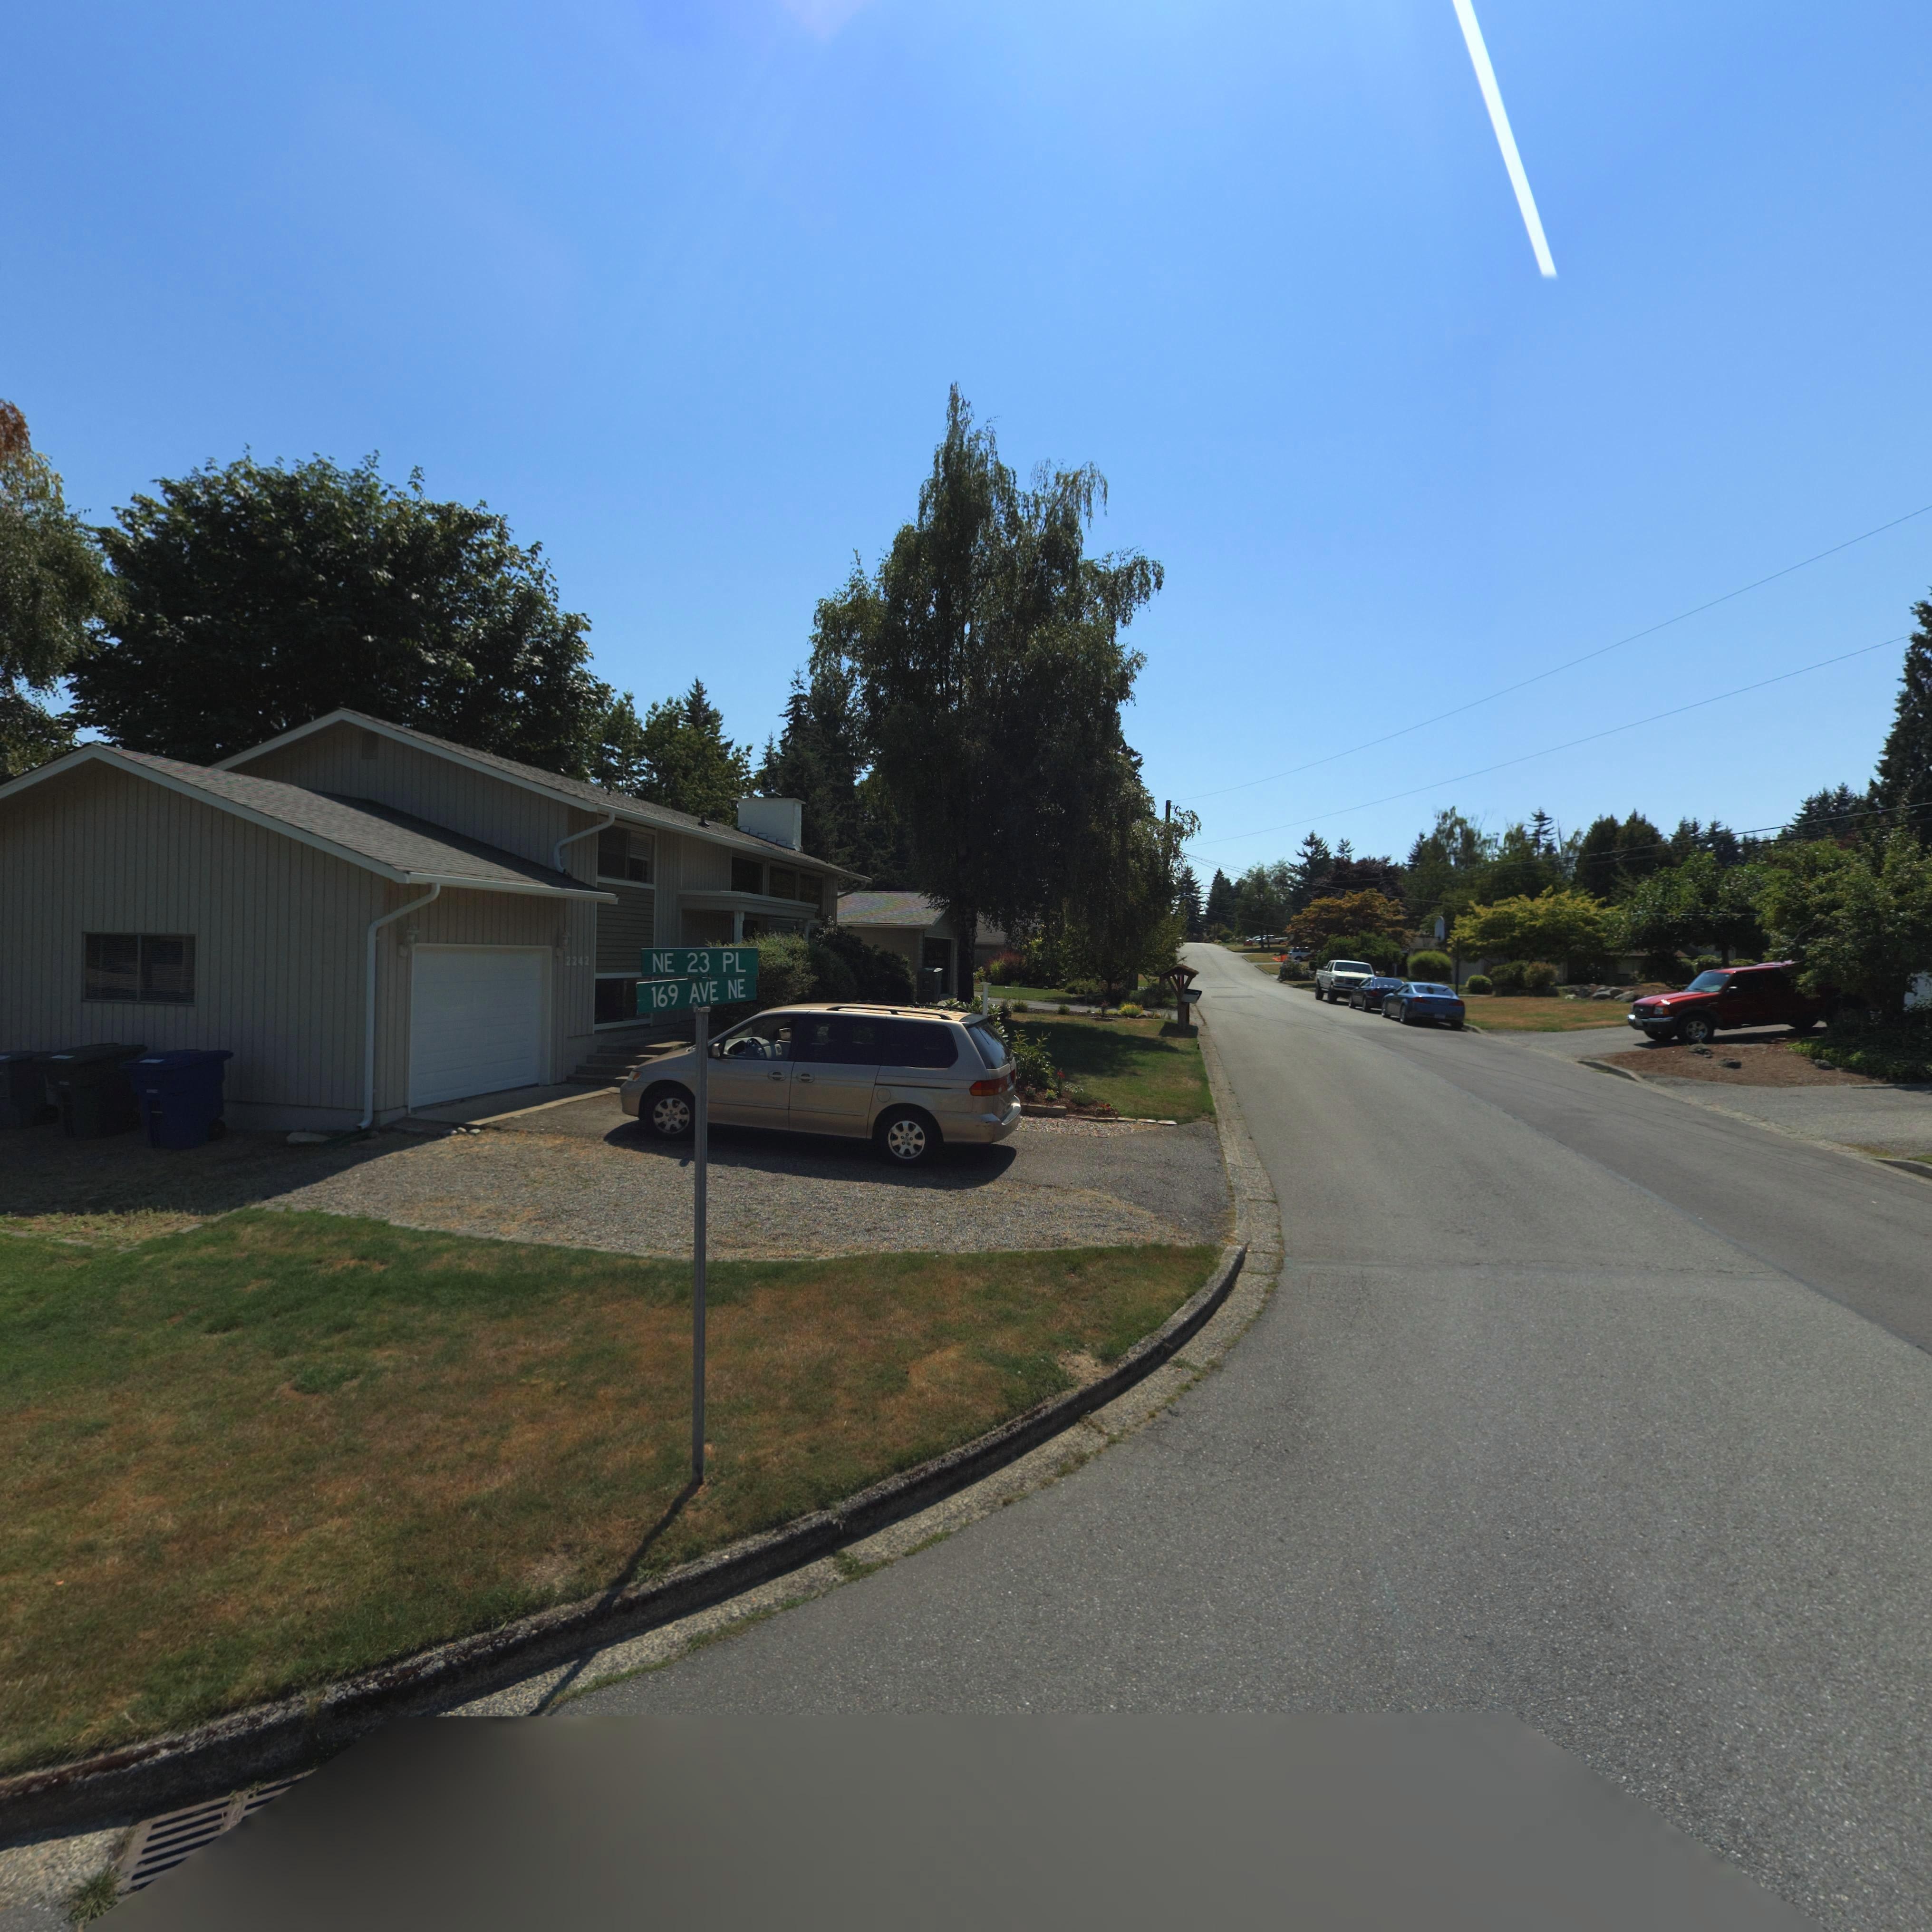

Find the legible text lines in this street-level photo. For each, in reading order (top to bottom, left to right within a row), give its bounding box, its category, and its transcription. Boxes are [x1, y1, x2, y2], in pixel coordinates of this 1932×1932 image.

[565, 955, 589, 966] StreetNumber: 2242
[652, 951, 748, 973] StreetName: NE 23 PL
[650, 977, 747, 1008] StreetName: 169 AVE NE